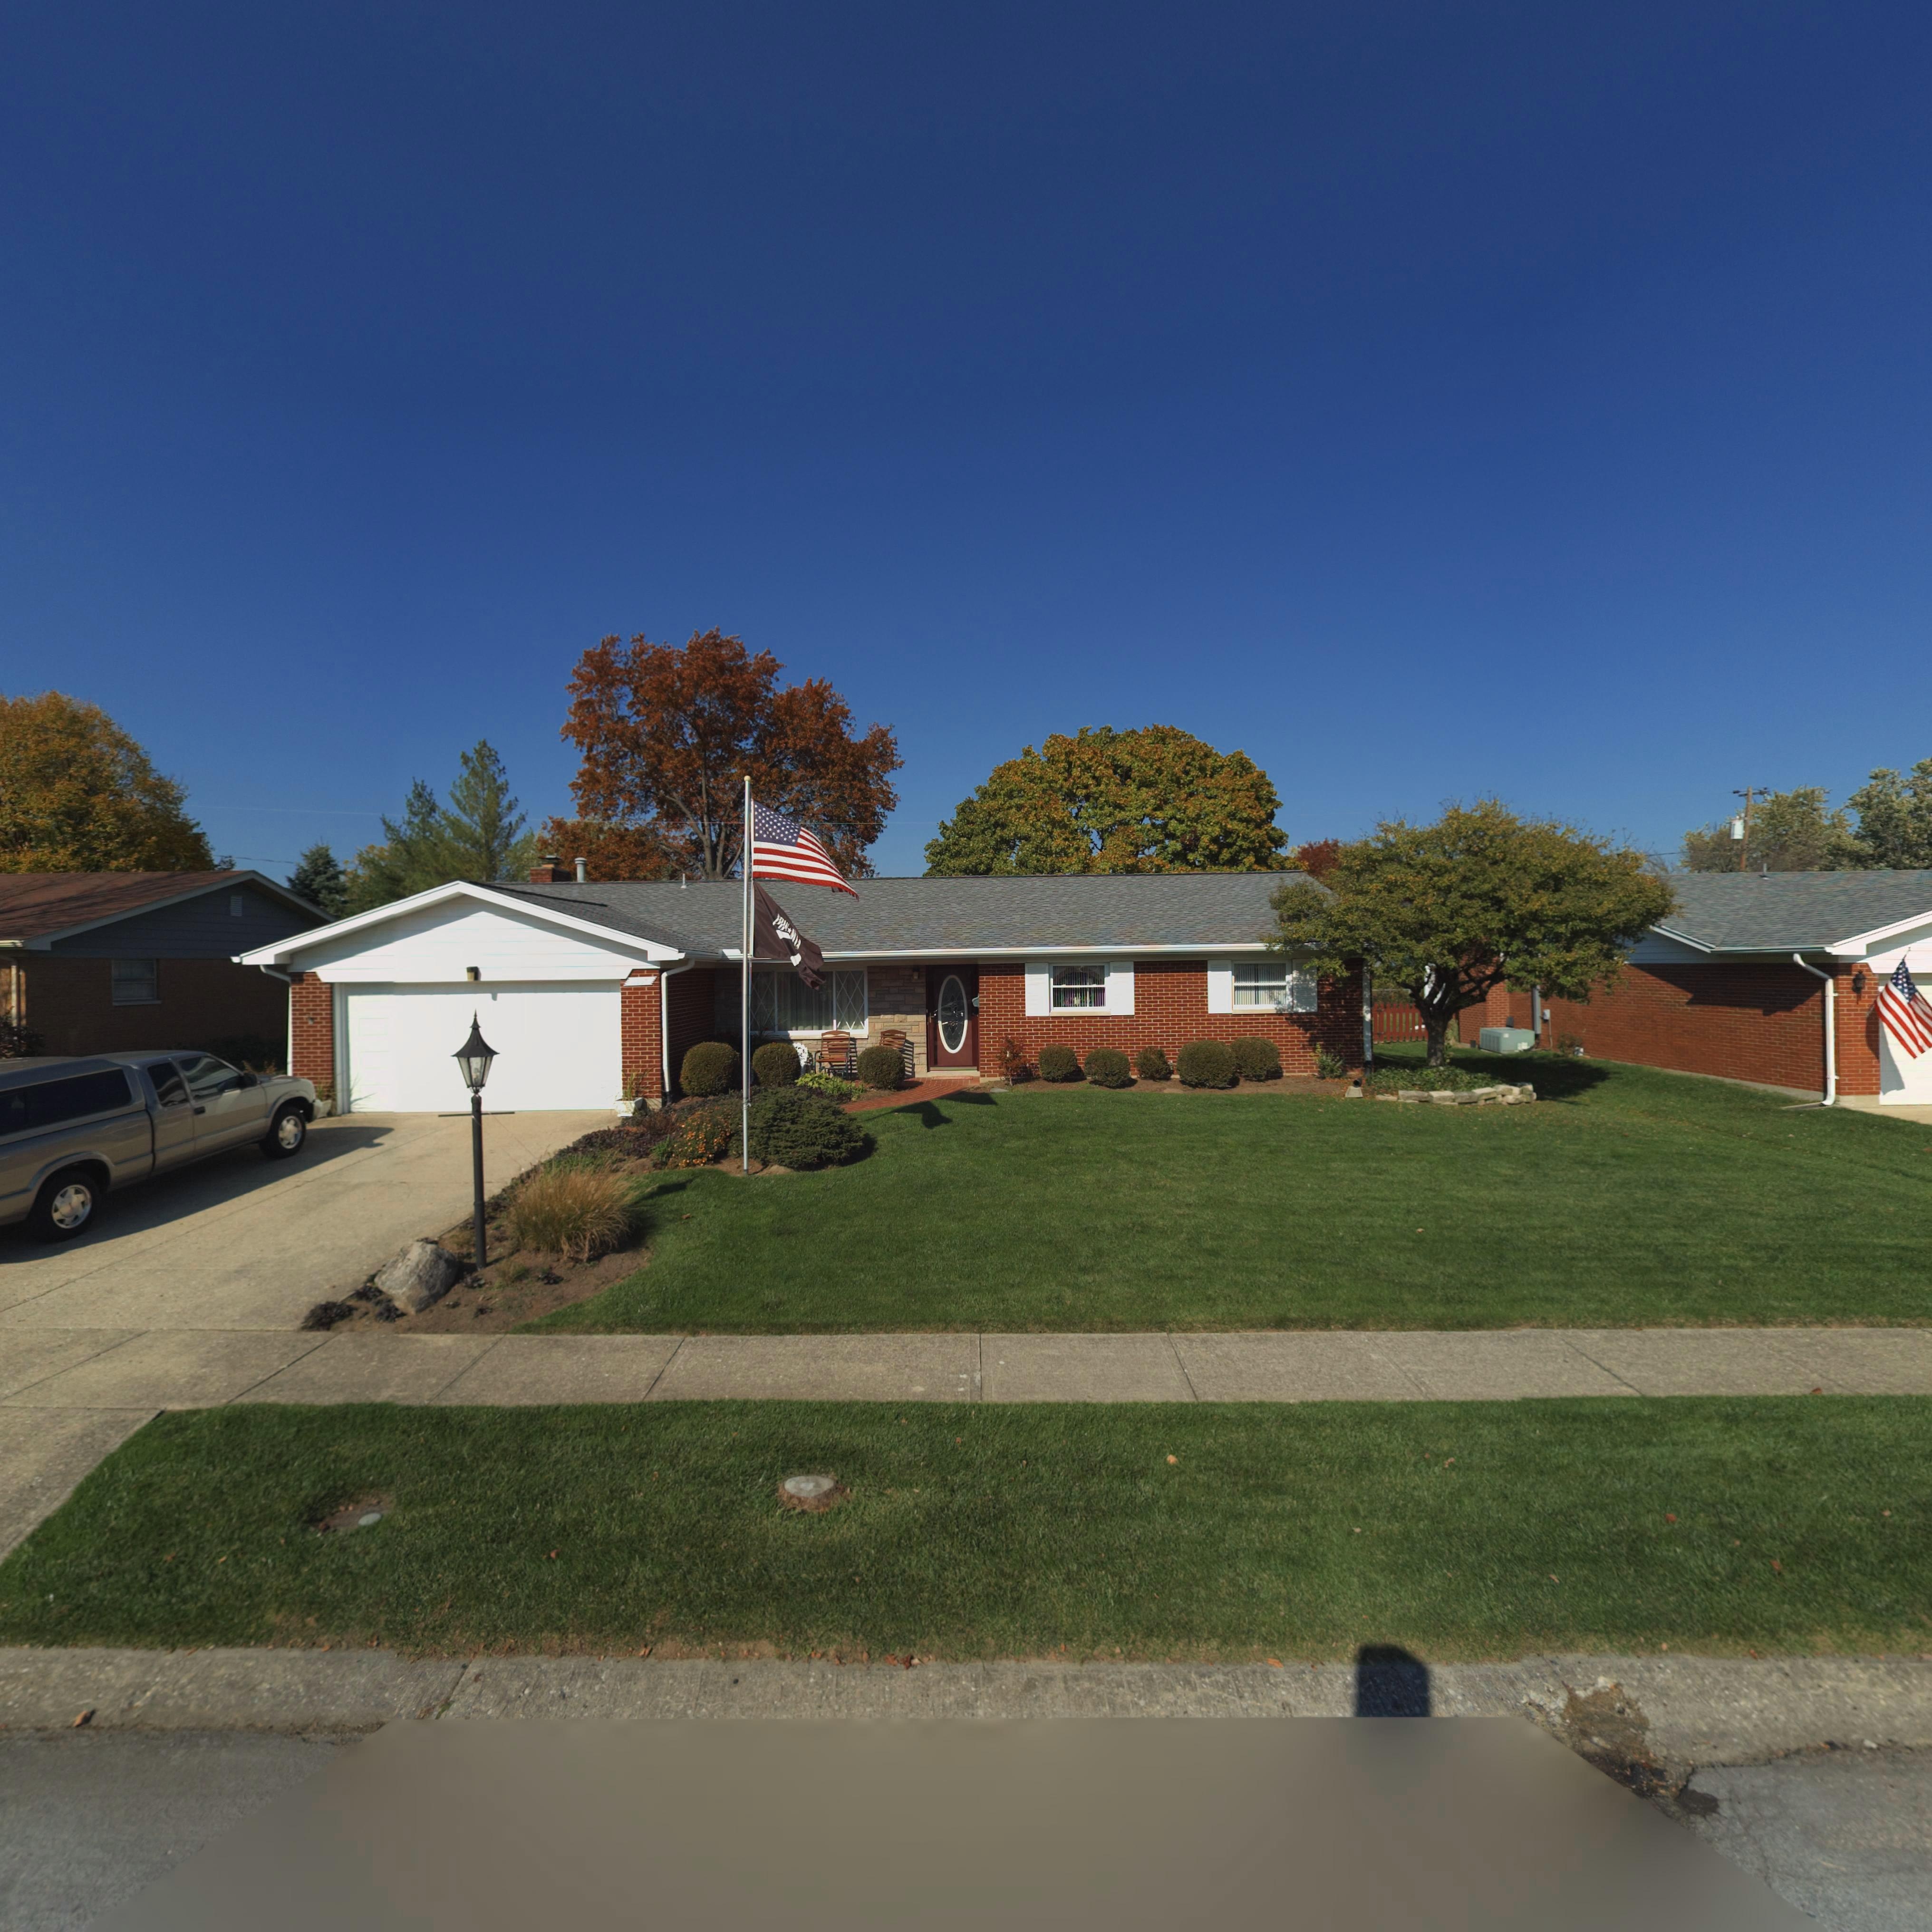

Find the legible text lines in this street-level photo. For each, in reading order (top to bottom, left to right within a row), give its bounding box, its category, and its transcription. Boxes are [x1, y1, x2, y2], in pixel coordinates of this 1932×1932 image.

[397, 1257, 412, 1271] StreetNumber: 7